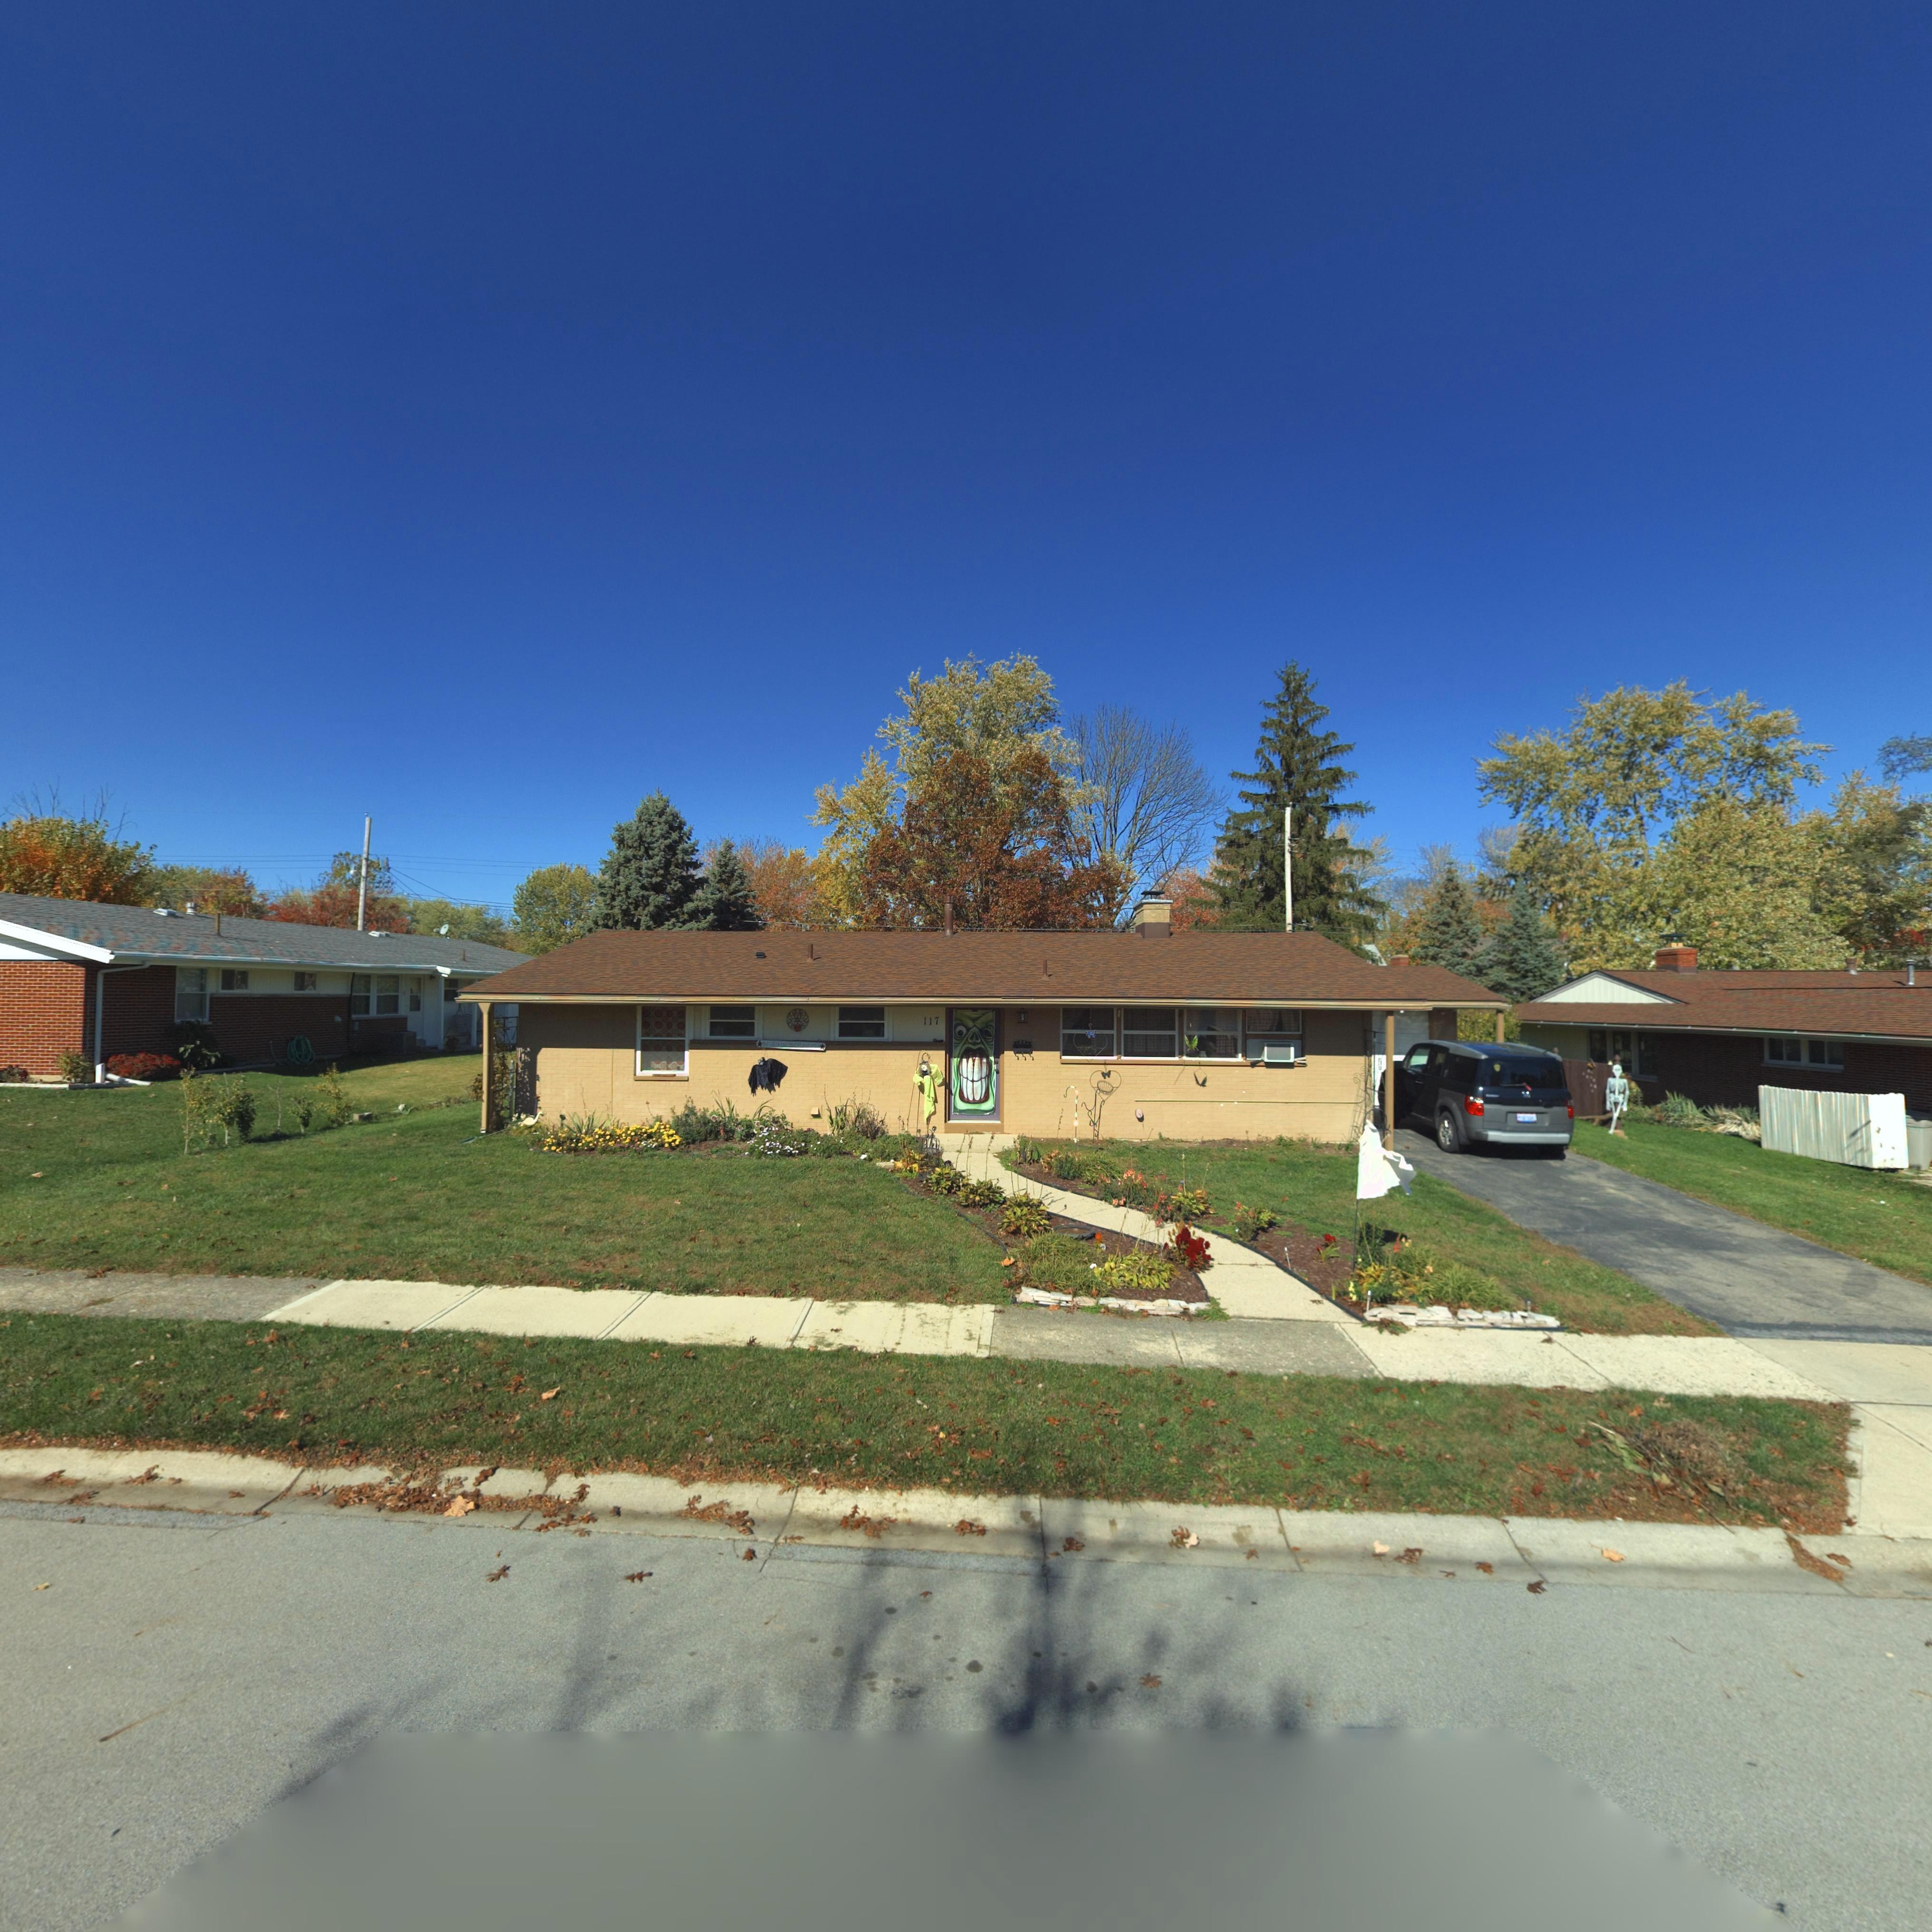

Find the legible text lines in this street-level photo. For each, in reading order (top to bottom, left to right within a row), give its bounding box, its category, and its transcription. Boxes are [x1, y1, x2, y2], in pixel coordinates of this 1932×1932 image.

[923, 1015, 940, 1026] StreetNumber: 117